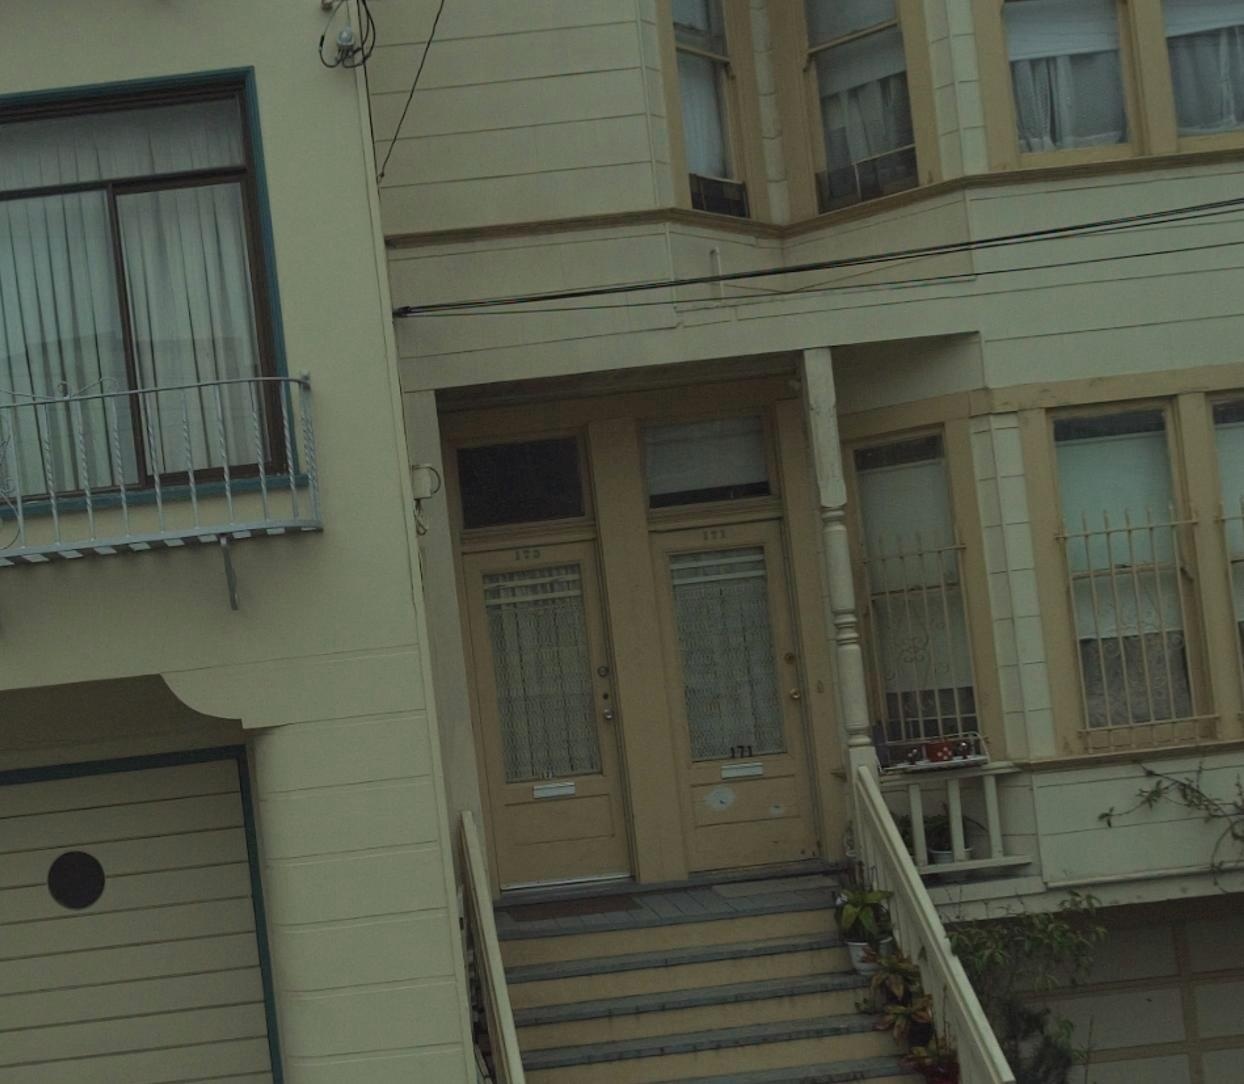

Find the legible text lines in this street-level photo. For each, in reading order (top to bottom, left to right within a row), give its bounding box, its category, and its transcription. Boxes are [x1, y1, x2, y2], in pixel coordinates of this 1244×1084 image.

[701, 527, 729, 542] StreetNumber: 171
[513, 545, 543, 564] StreetNumber: 173
[729, 744, 756, 760] StreetNumber: 171
[538, 770, 557, 780] StreetNumber: 173